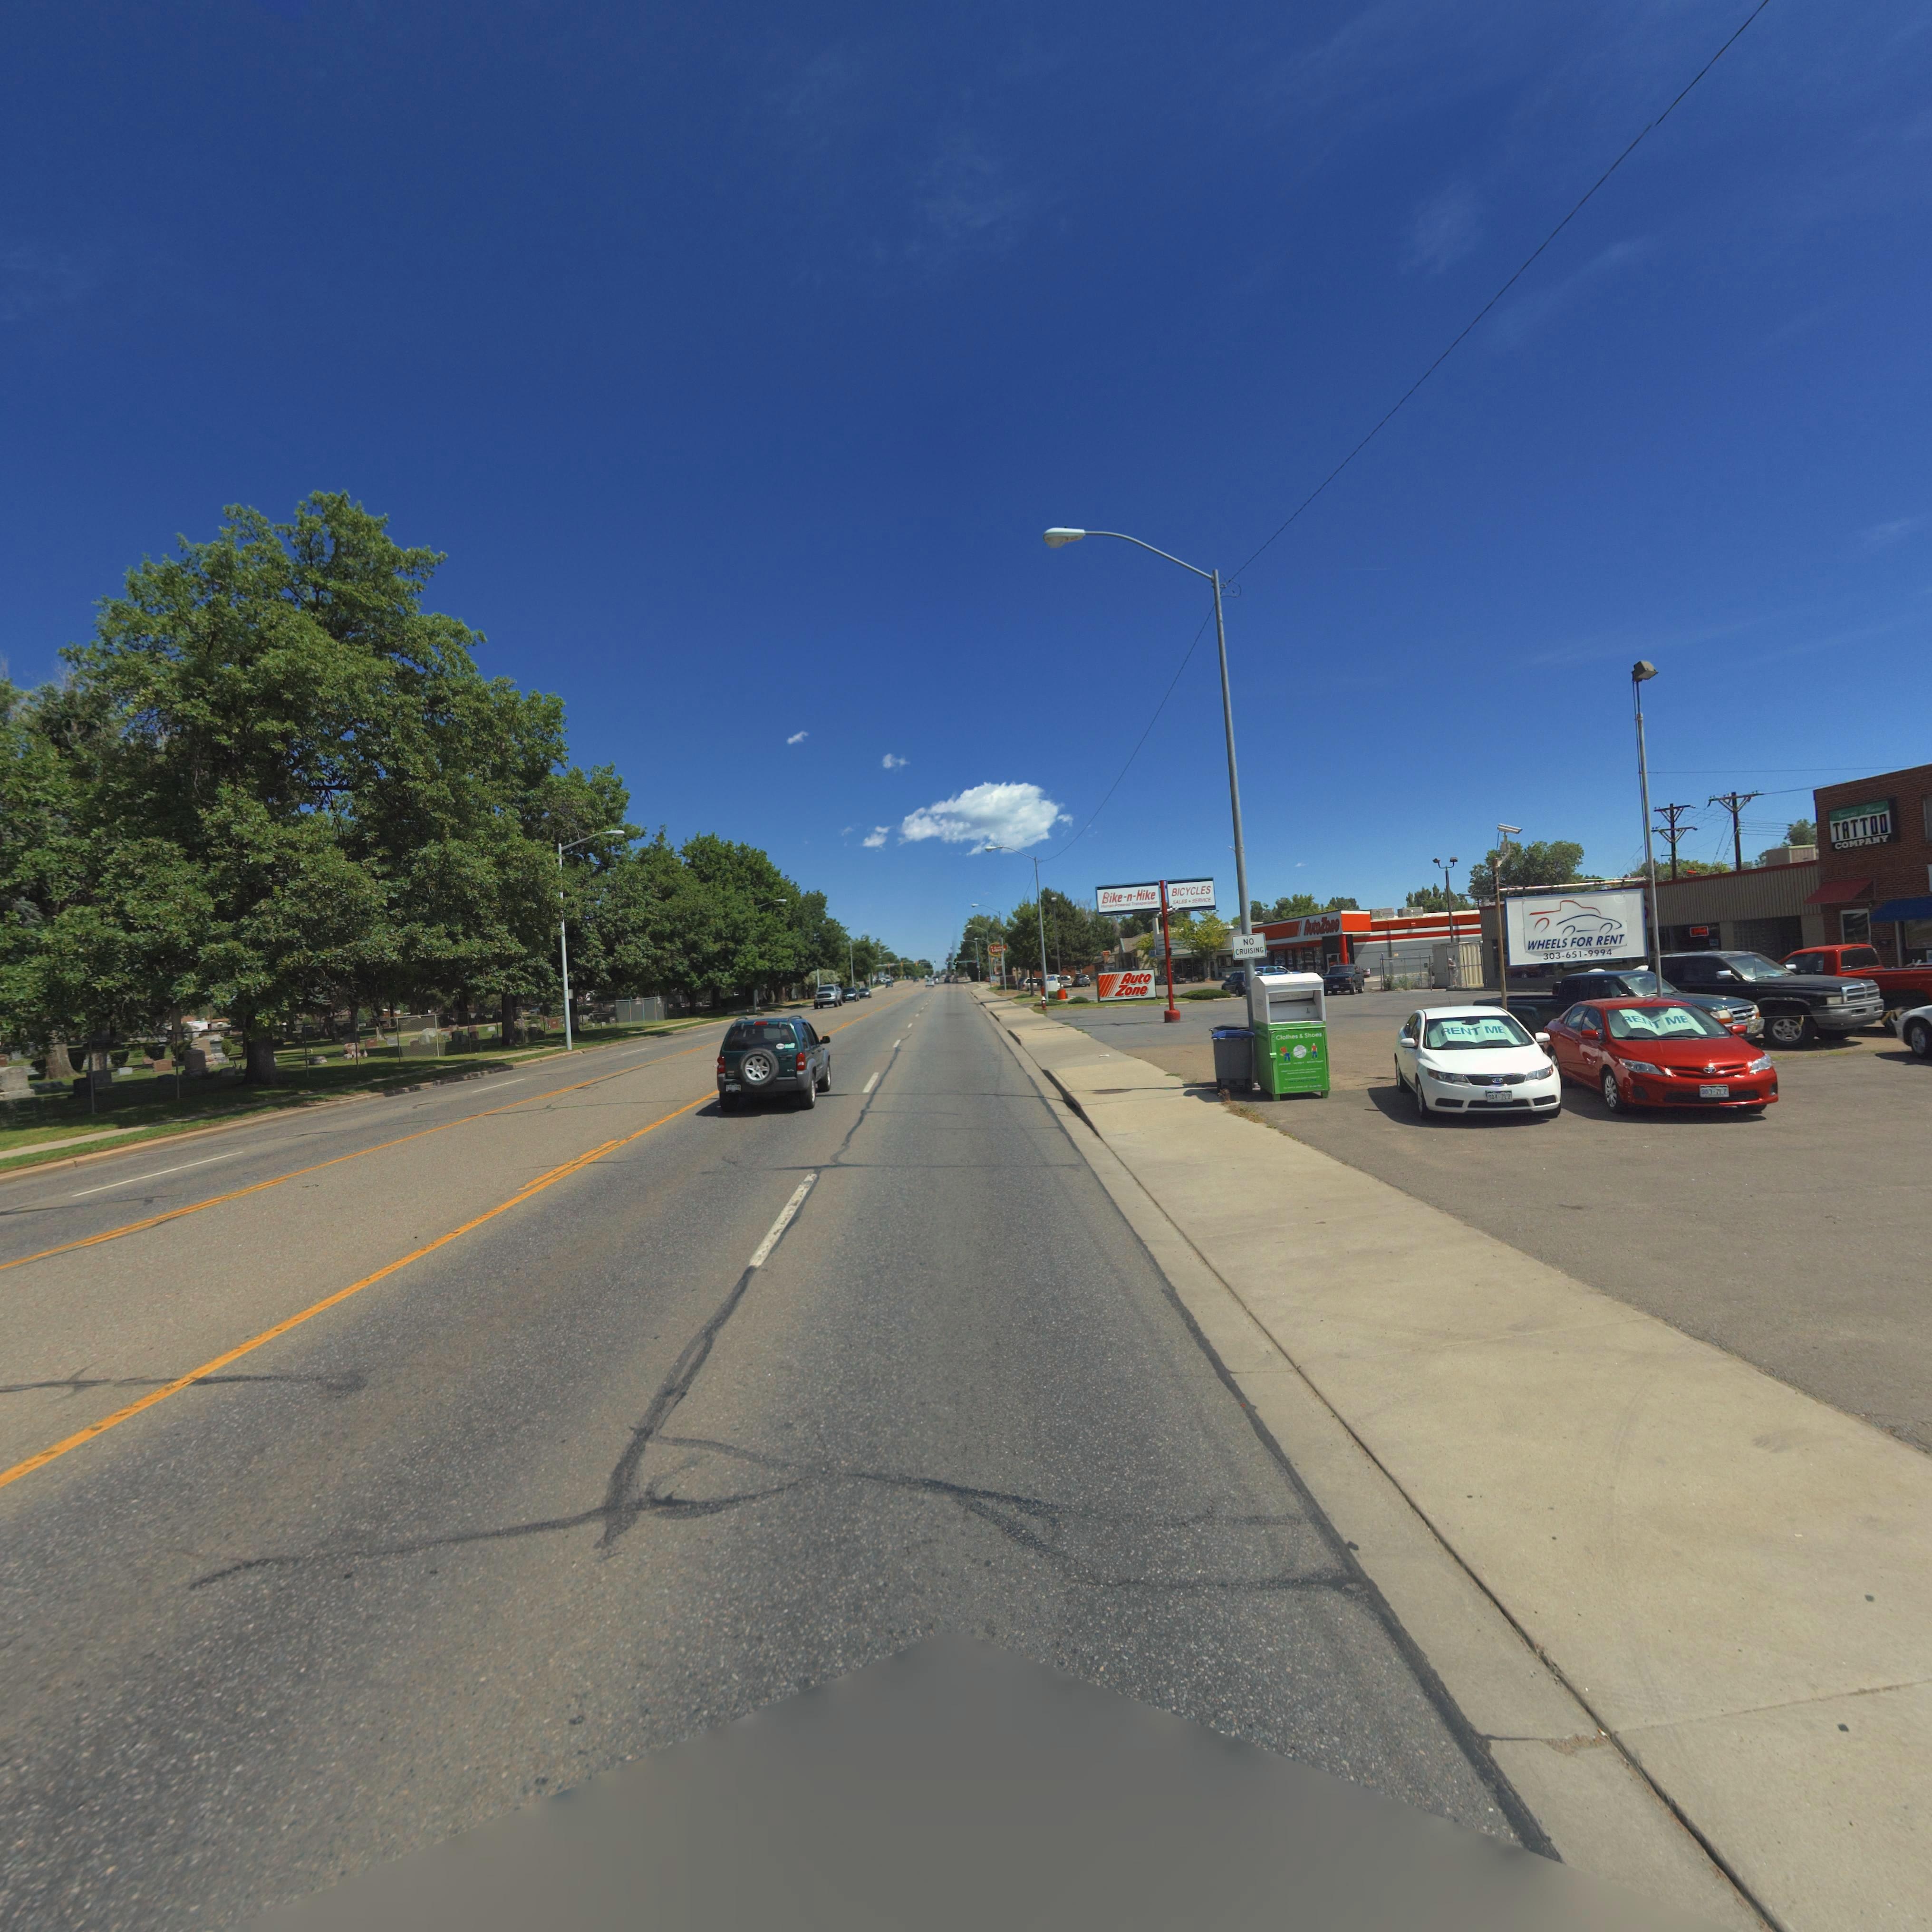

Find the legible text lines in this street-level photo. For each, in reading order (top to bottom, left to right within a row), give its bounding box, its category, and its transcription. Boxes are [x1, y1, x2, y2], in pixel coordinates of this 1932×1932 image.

[1832, 812, 1890, 841] BusinessName: TATTOO
[1834, 833, 1889, 850] BusinessName: COMPANY
[1101, 889, 1155, 904] BusinessName: Bike-n-Hike
[1304, 916, 1340, 936] BusinessName: AutoZo**
[1527, 933, 1625, 950] BusinessName: WHEELS FOR RENT
[1120, 972, 1151, 985] BusinessName: Auto
[1114, 984, 1148, 996] BusinessName: Zone